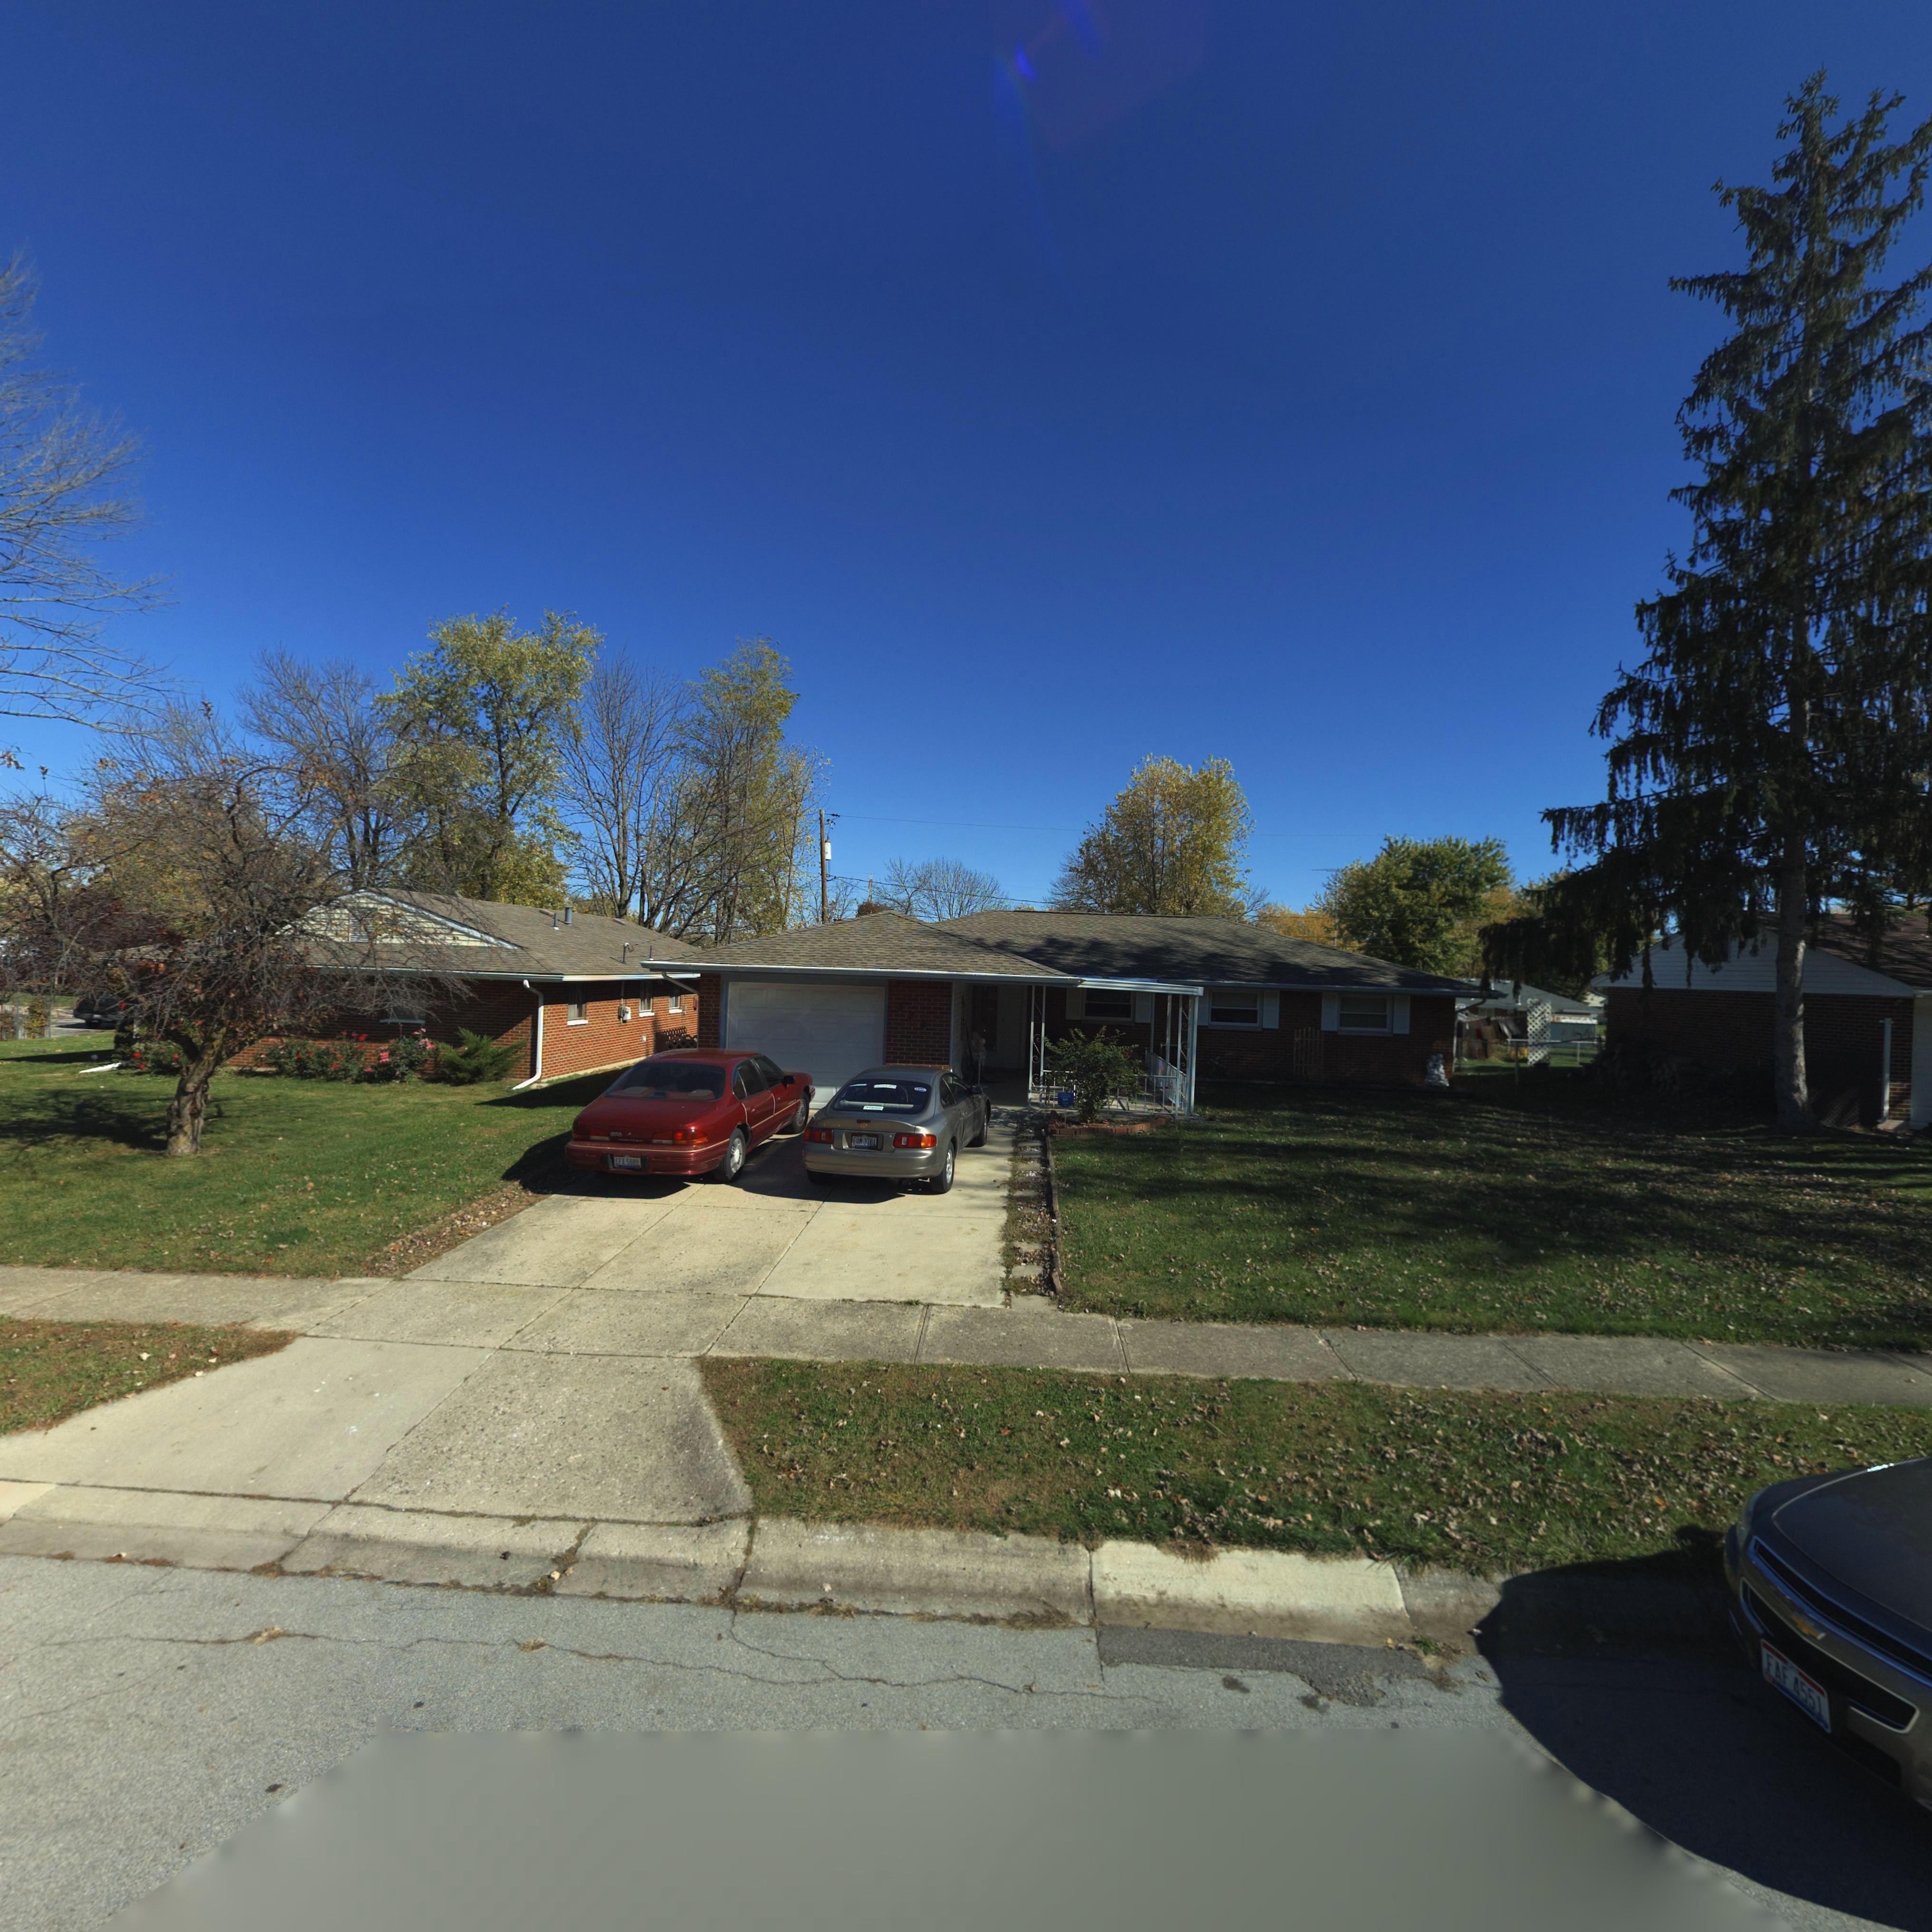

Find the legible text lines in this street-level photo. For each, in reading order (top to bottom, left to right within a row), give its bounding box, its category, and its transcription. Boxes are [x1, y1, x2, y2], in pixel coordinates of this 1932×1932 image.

[896, 1002, 927, 1029] StreetNumber: *2*